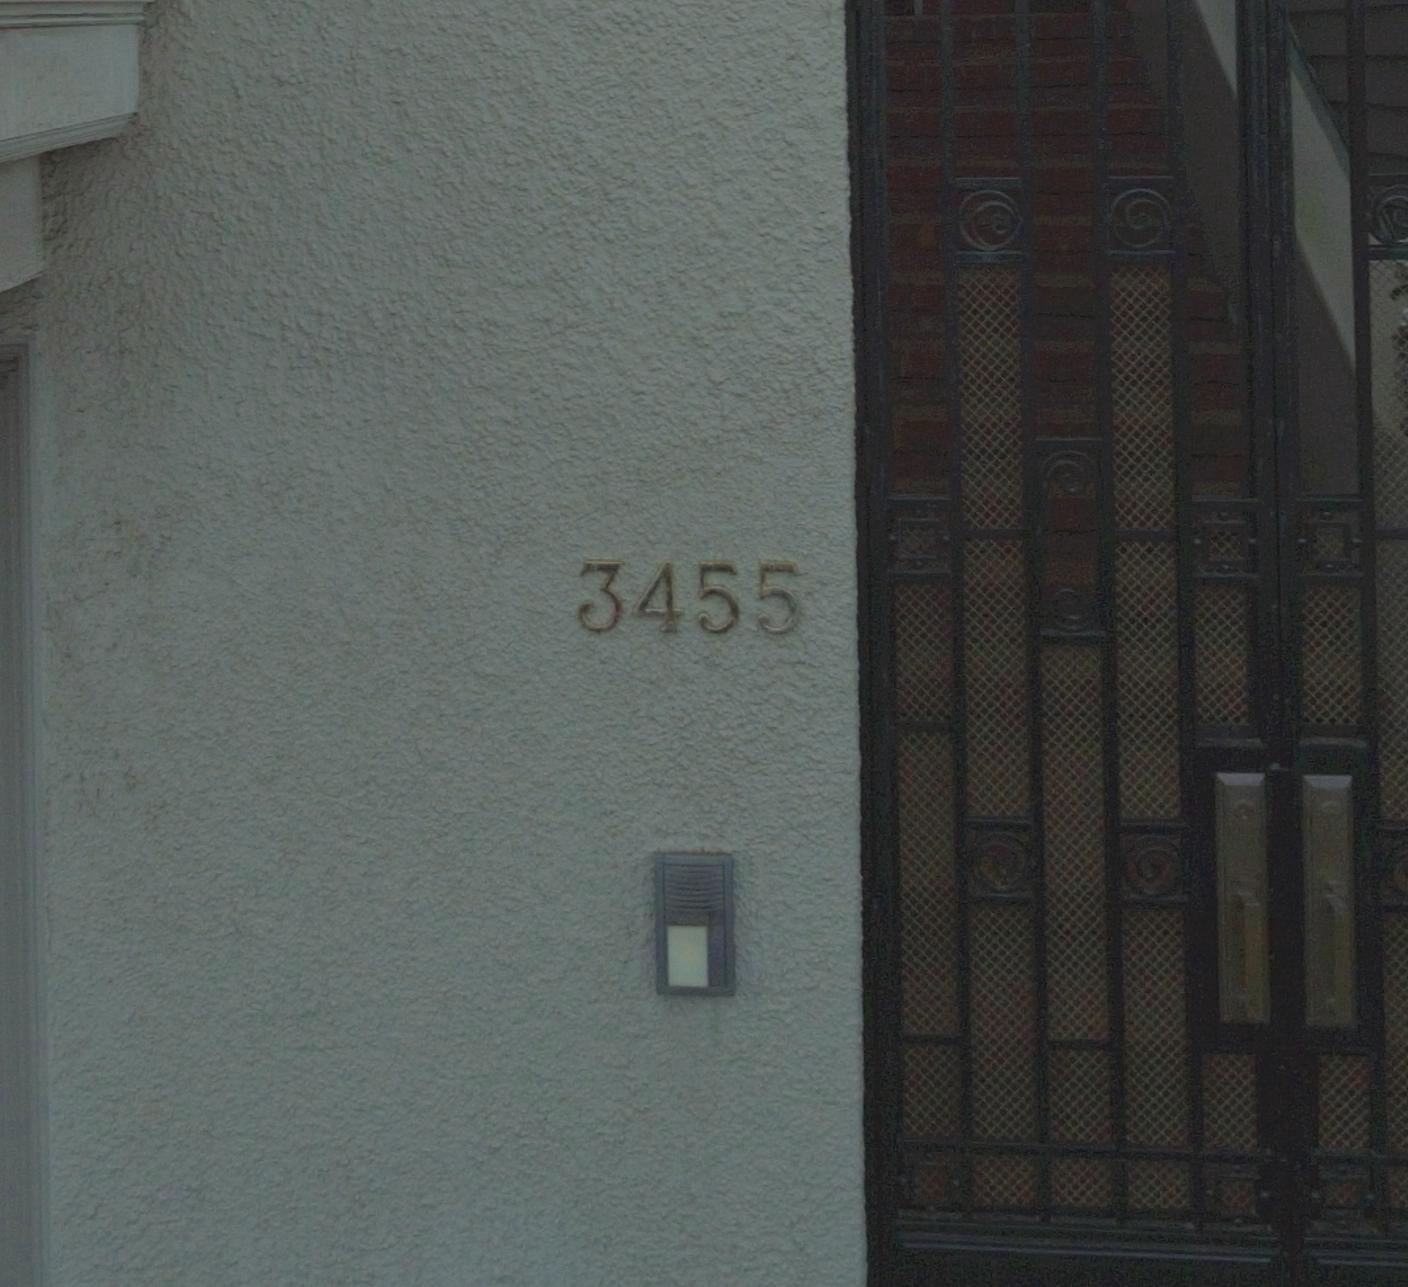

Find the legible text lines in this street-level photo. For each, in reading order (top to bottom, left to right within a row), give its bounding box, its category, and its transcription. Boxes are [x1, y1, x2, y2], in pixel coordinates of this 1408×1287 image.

[575, 557, 804, 637] StreetNumber: 3455